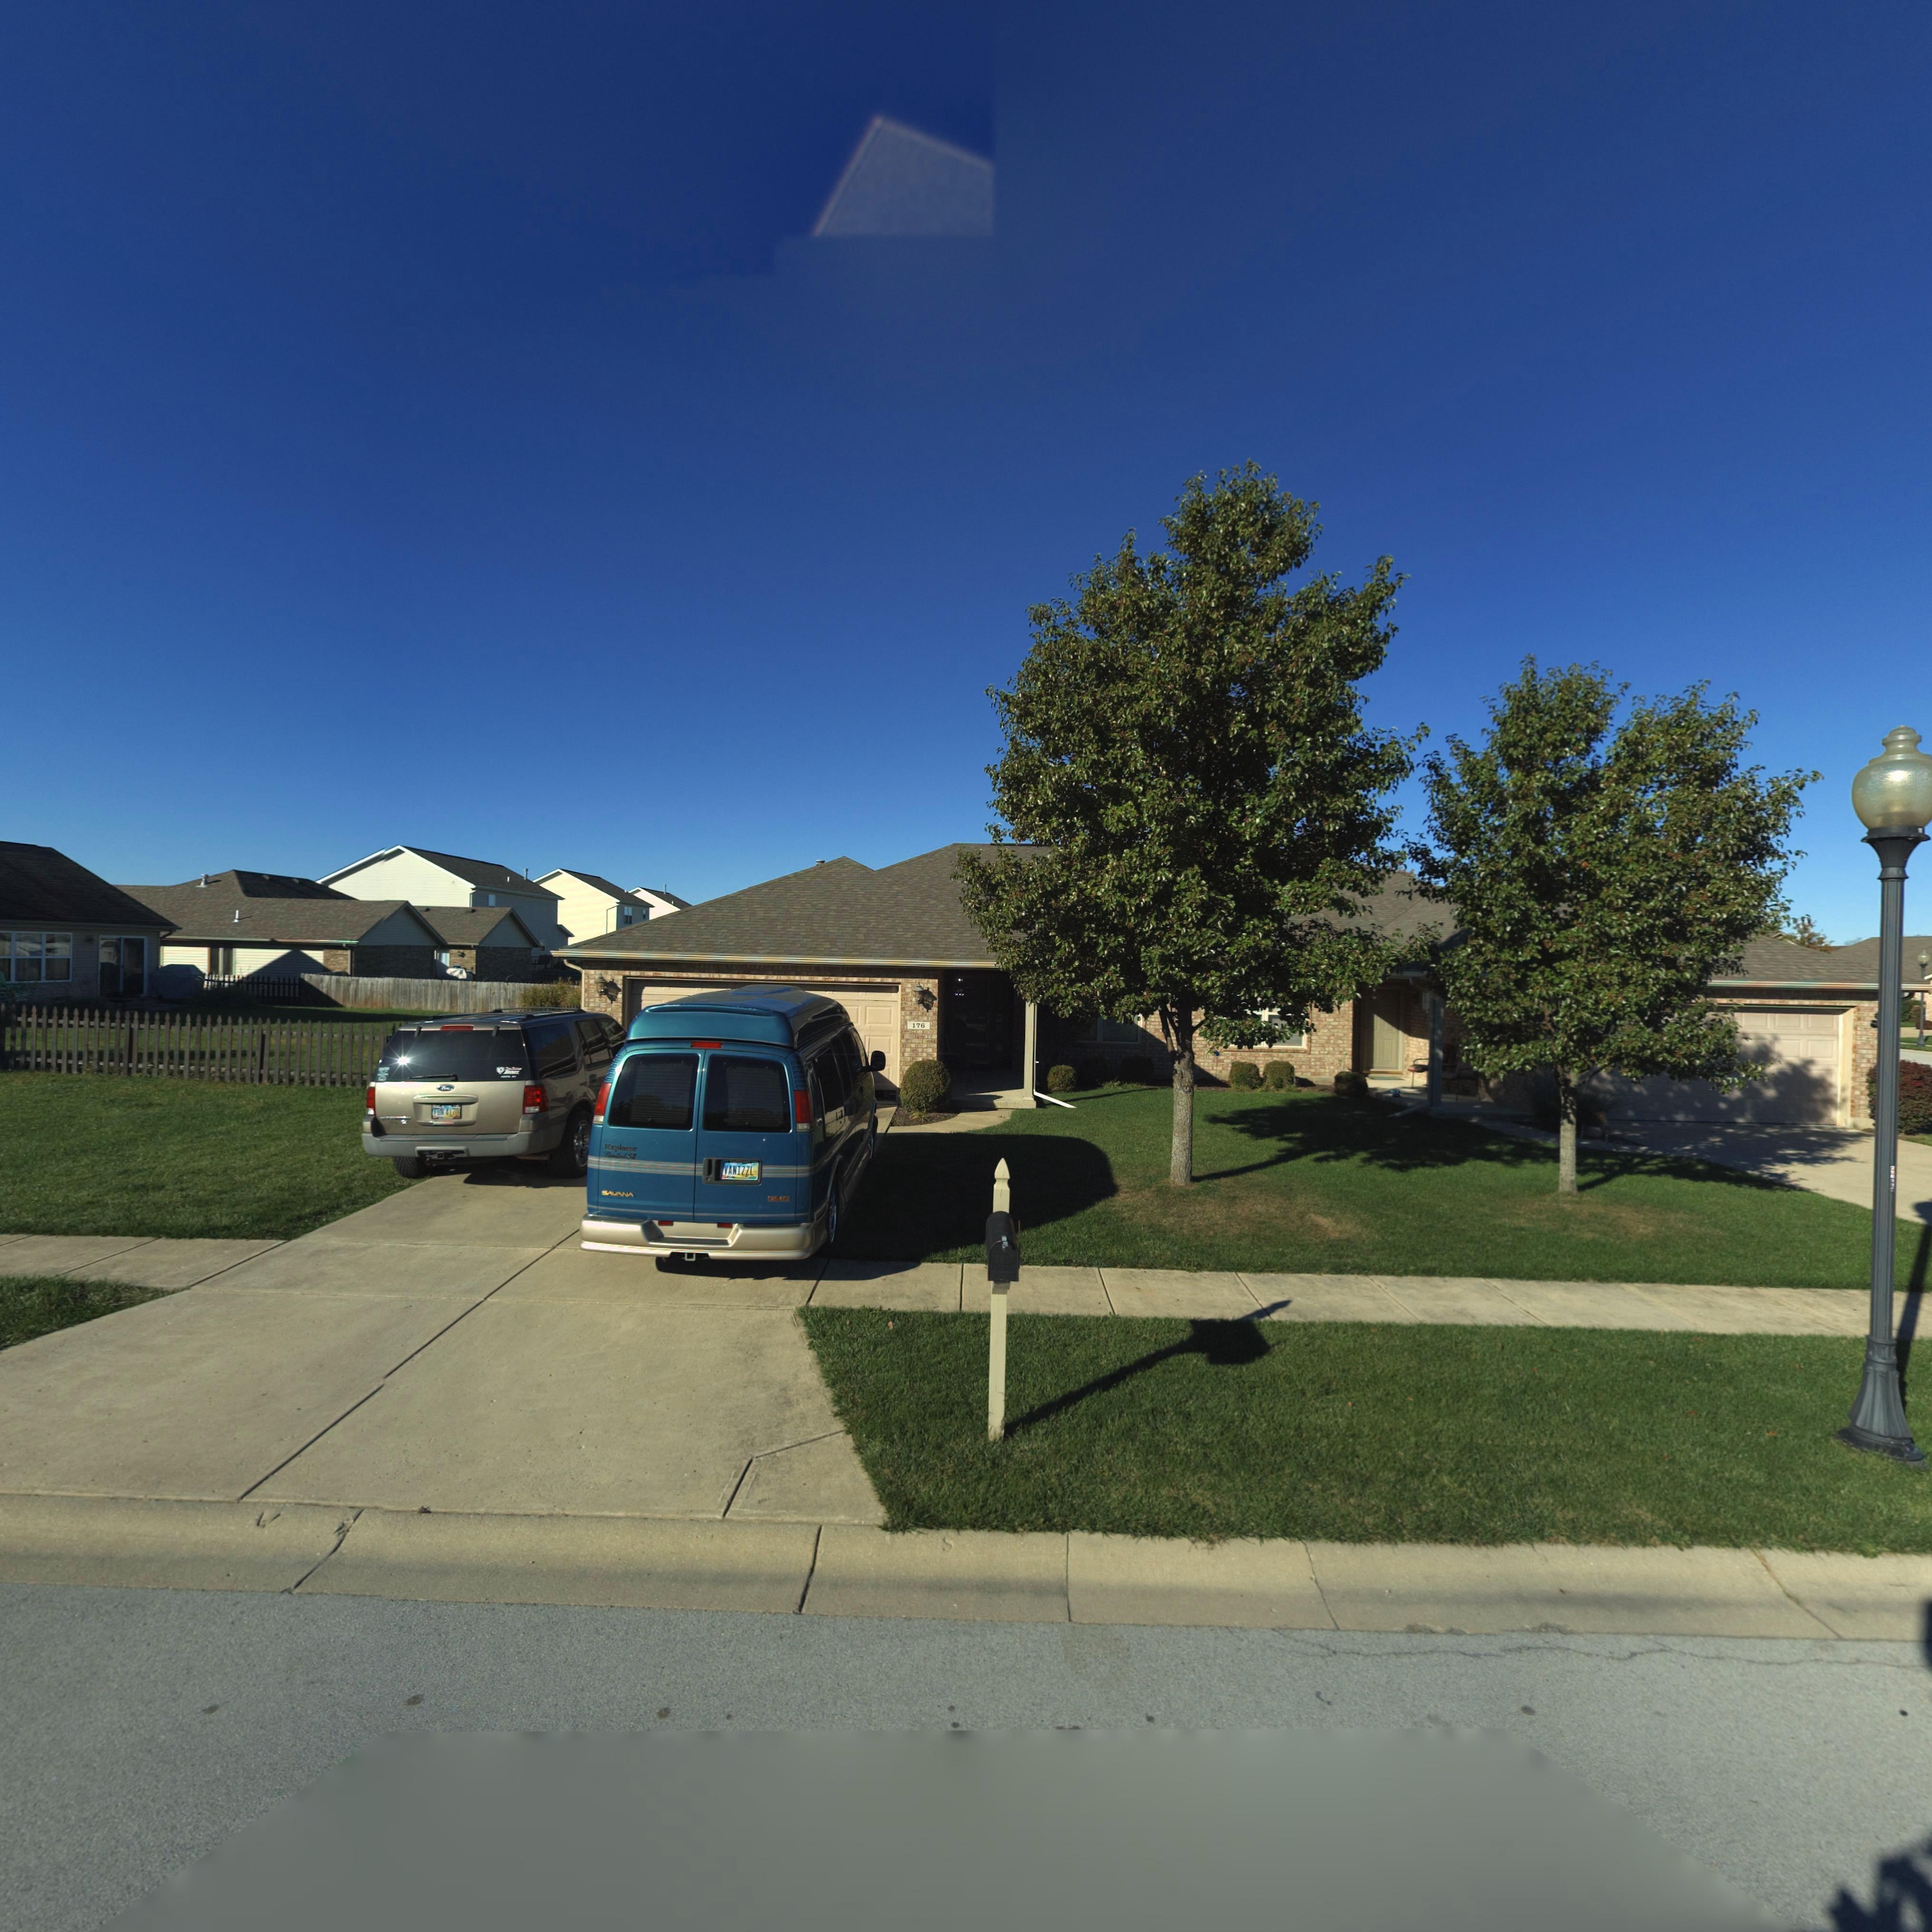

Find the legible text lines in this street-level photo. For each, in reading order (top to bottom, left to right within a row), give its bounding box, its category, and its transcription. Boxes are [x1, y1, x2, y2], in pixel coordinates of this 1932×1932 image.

[912, 1022, 926, 1029] StreetNumber: 176